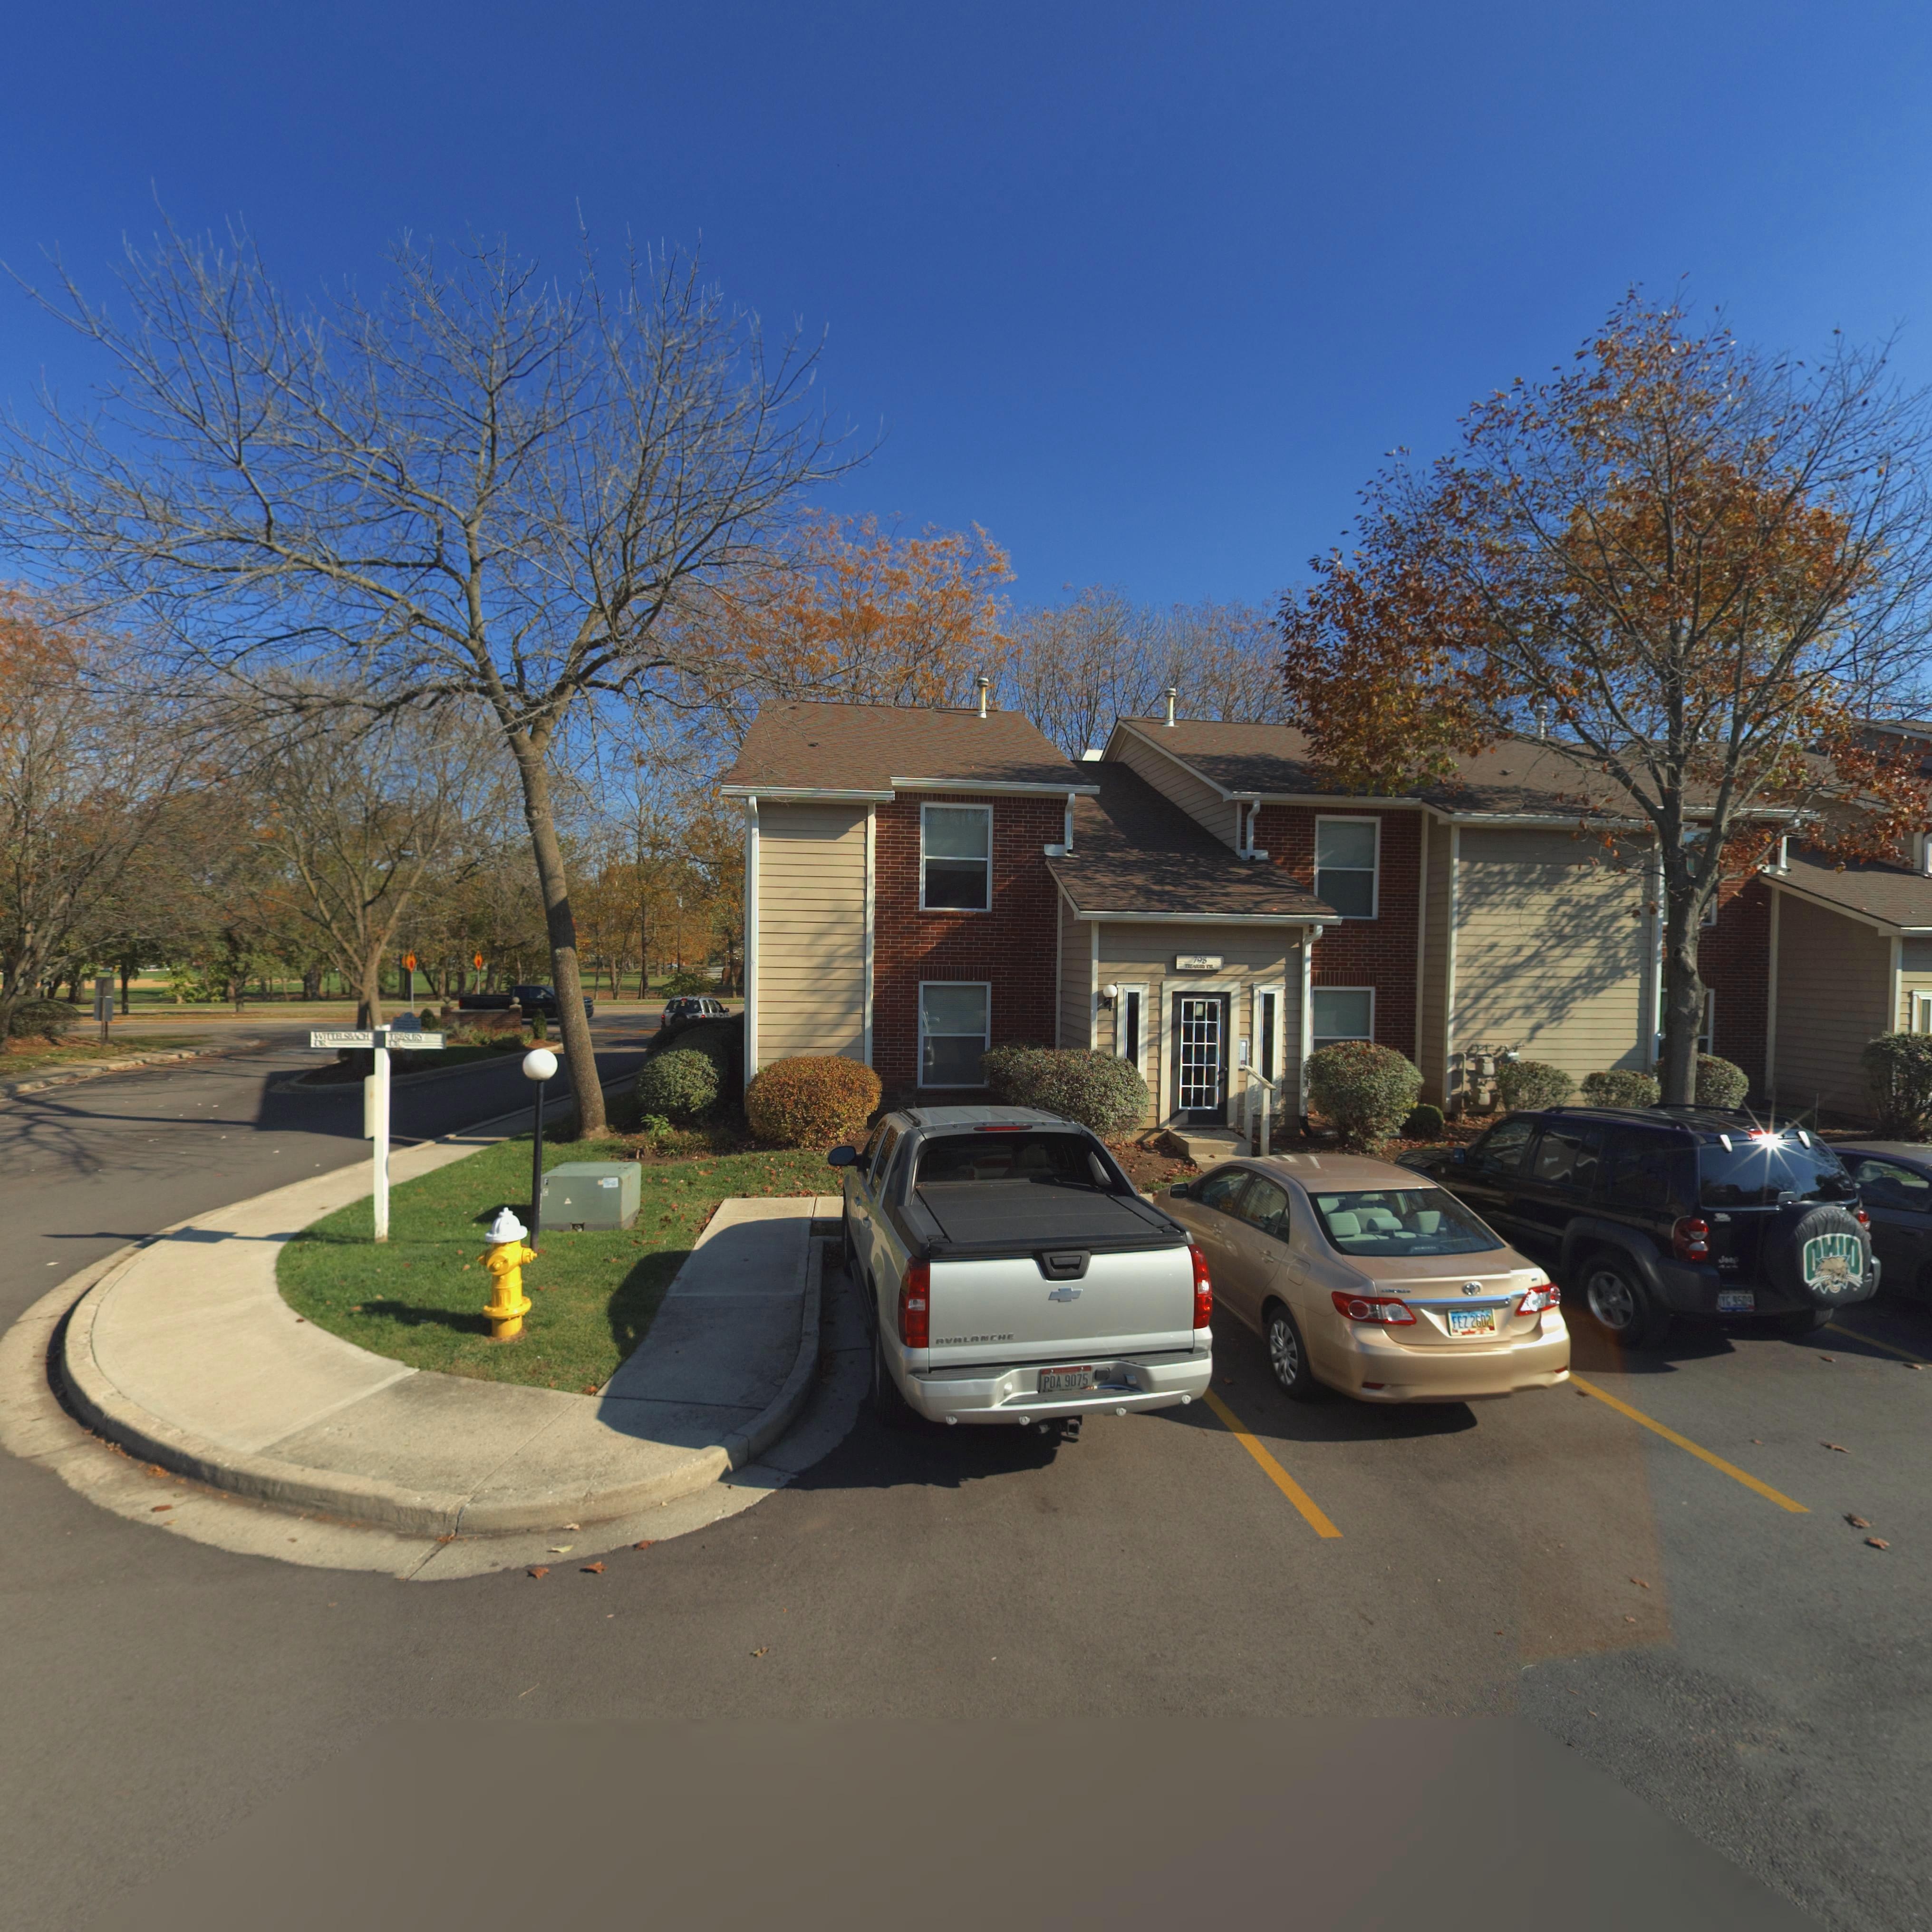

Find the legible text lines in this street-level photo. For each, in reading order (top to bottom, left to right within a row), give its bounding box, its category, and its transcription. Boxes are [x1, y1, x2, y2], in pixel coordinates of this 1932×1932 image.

[1193, 956, 1207, 964] StreetNumber: 798
[1184, 964, 1214, 969] StreetName: TREASURY DR
[314, 1032, 370, 1041] StreetName: WITTELSBACH
[389, 1032, 424, 1042] StreetName: TR*SURY
[314, 1040, 327, 1048] StreetName: DR
[389, 1040, 401, 1048] StreetName: DR
[1718, 1255, 1740, 1265] None: Jeep
[1806, 1235, 1860, 1282] None: OHIO
[1718, 1264, 1739, 1268] None: 4x4
[1720, 1295, 1753, 1308] None: YG*9509
[1451, 1314, 1493, 1329] None: FEZ*2602
[934, 1333, 1015, 1345] None: AVALANCHE
[1043, 1372, 1089, 1390] None: PDA*9075